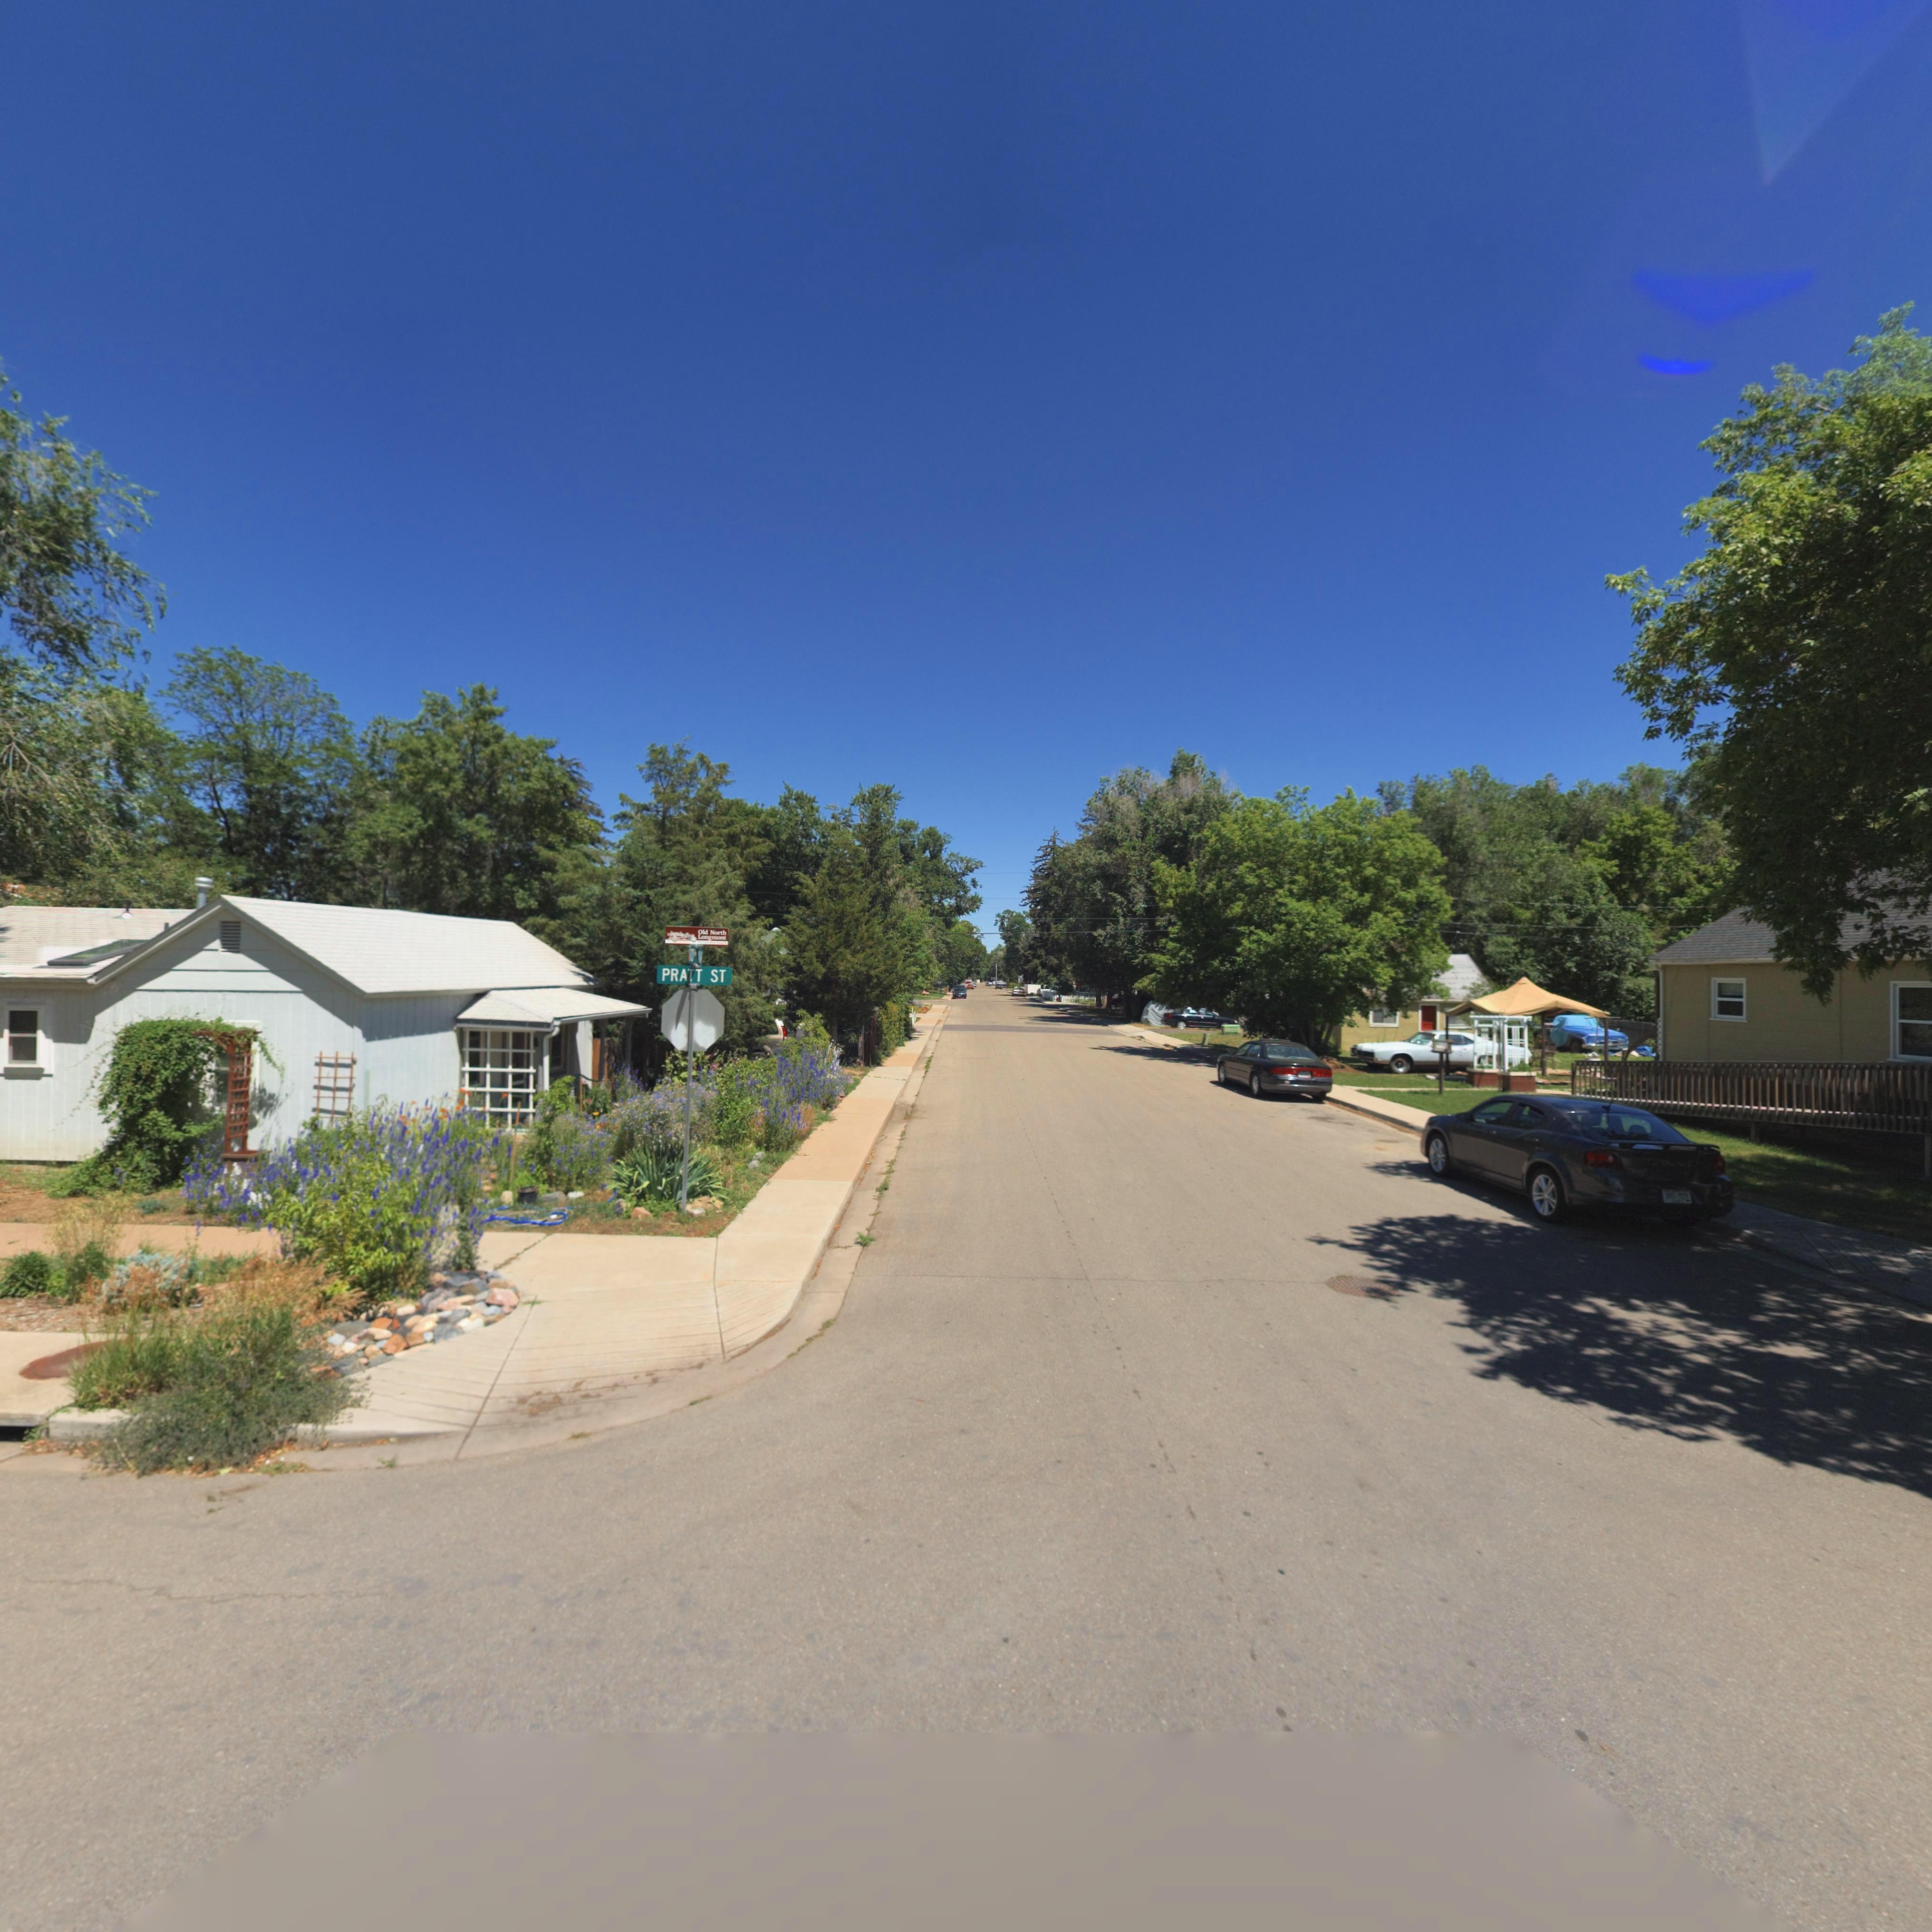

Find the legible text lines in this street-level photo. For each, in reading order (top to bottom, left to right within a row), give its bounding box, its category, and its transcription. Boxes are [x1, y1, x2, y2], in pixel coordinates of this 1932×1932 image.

[688, 947, 703, 964] StreetName: 10** AV
[661, 967, 726, 983] StreetName: PRATT ST